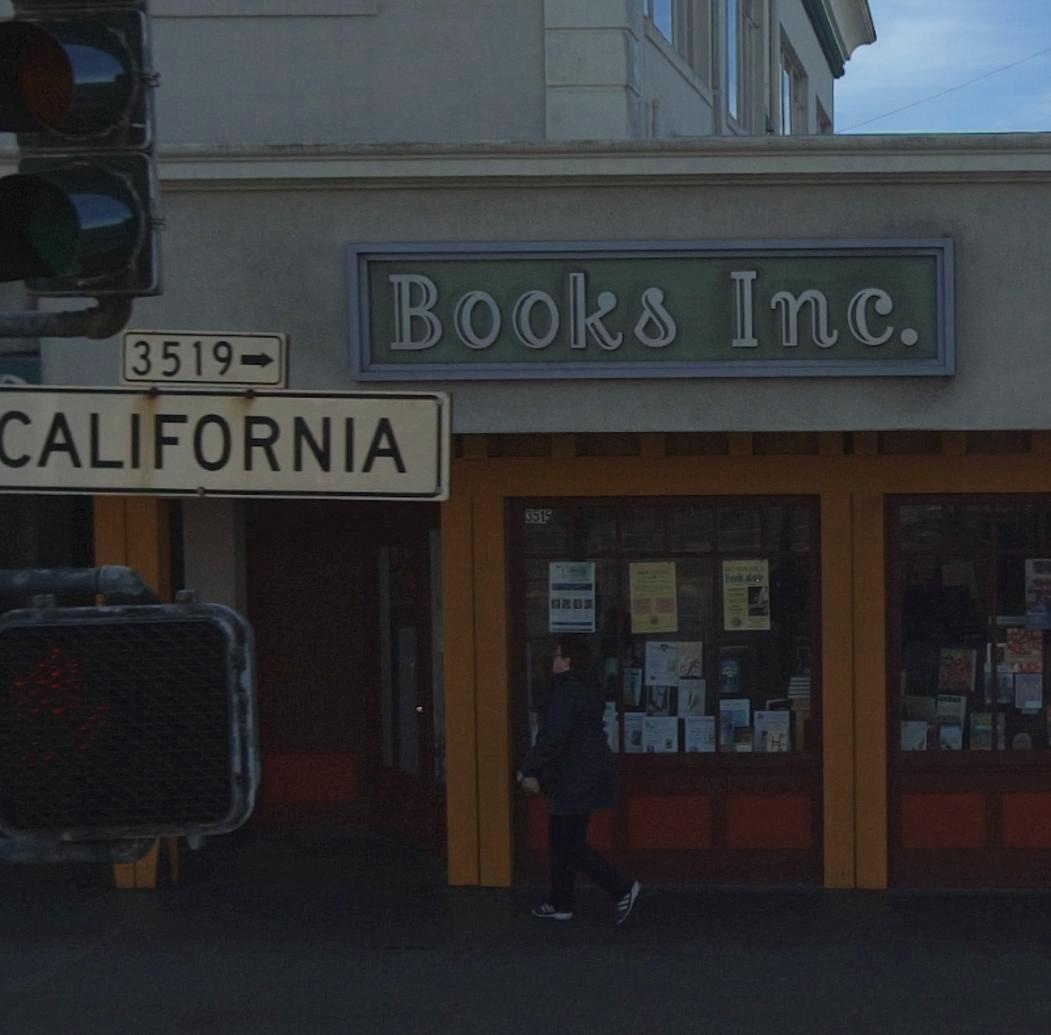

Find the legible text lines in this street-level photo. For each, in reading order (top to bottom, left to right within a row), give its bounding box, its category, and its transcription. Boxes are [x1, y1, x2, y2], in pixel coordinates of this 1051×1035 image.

[384, 268, 923, 354] BusinessName: Books Inc.
[128, 337, 276, 380] StreetNumberRange: 3519*
[30, 407, 415, 479] StreetName: ALIFORNIA
[524, 508, 554, 524] StreetNumber: 3515